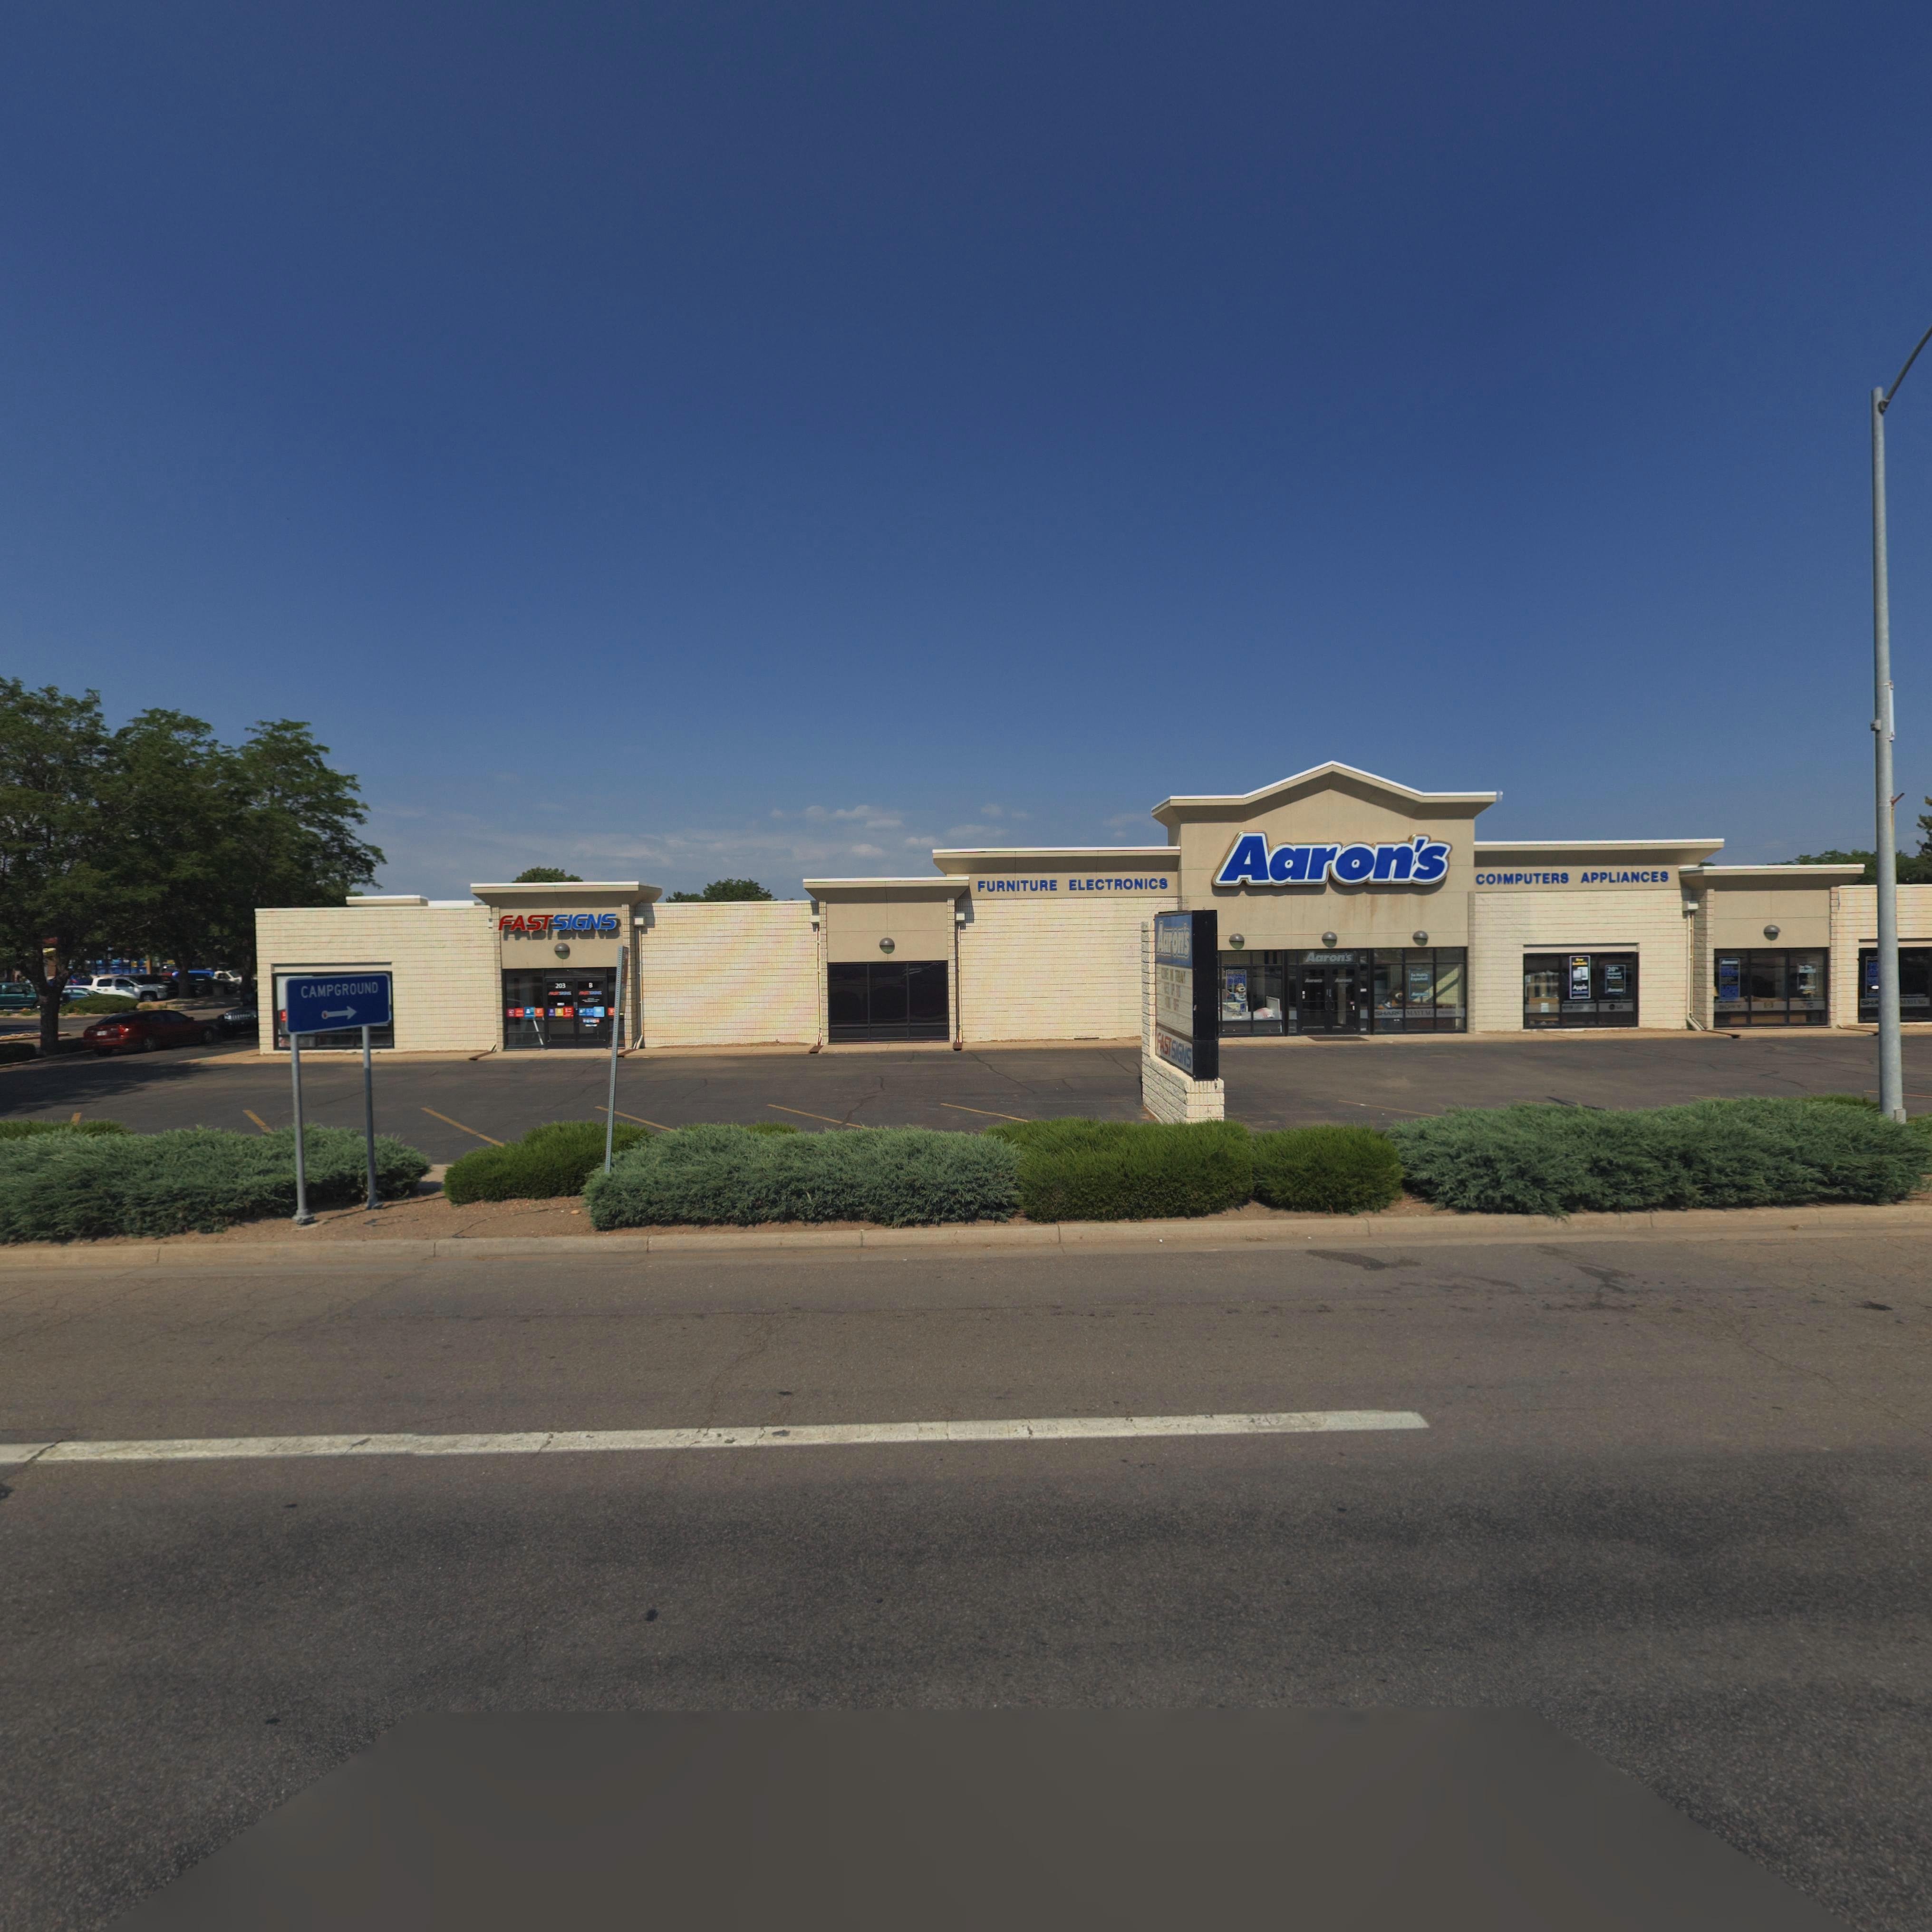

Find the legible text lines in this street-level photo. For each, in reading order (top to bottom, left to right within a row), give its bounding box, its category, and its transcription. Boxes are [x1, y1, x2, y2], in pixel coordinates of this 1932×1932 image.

[1210, 830, 1454, 887] BusinessName: Aaron's
[497, 912, 618, 932] BusinessName: FASTSIGNS
[1156, 921, 1190, 958] BusinessName: Aaron's
[1303, 951, 1353, 963] BusinessName: Aaron's
[555, 982, 566, 988] StreetNumber: 203
[1156, 1031, 1192, 1069] BusinessName: FASTSIGNS